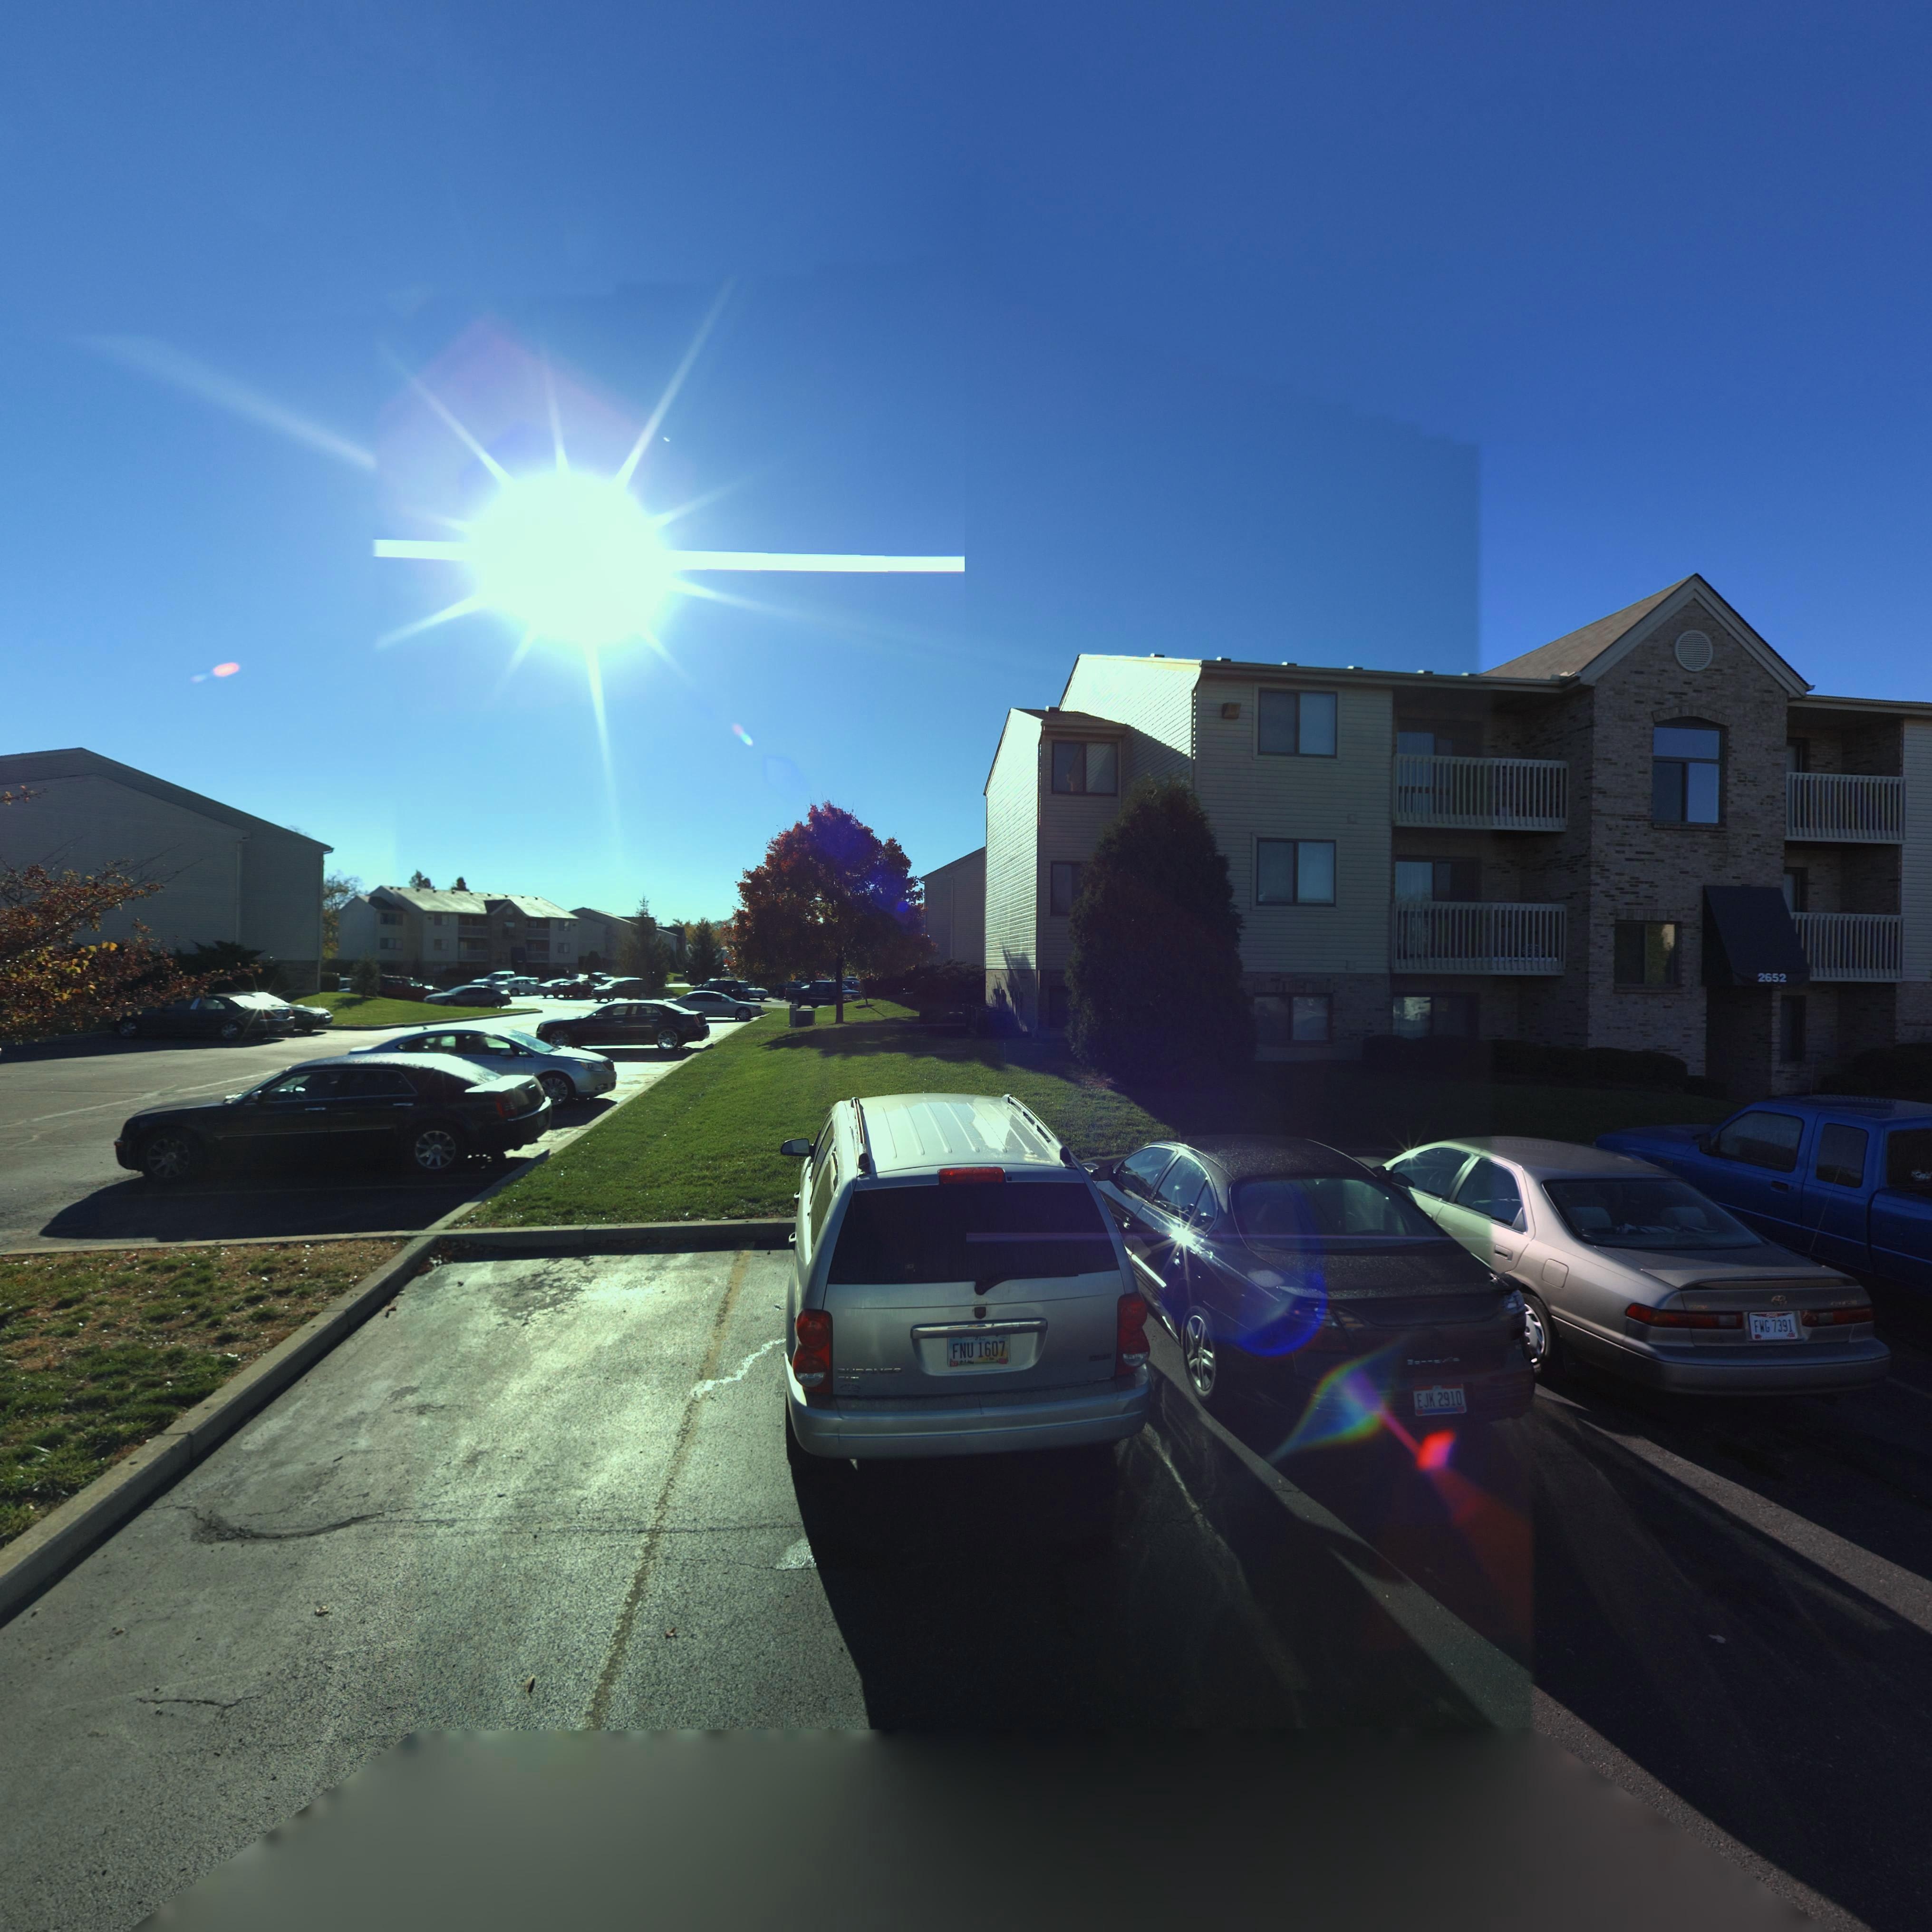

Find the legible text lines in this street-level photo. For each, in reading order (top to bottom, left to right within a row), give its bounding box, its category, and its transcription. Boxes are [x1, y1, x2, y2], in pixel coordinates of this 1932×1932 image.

[1757, 971, 1788, 984] StreetNumber: 2652